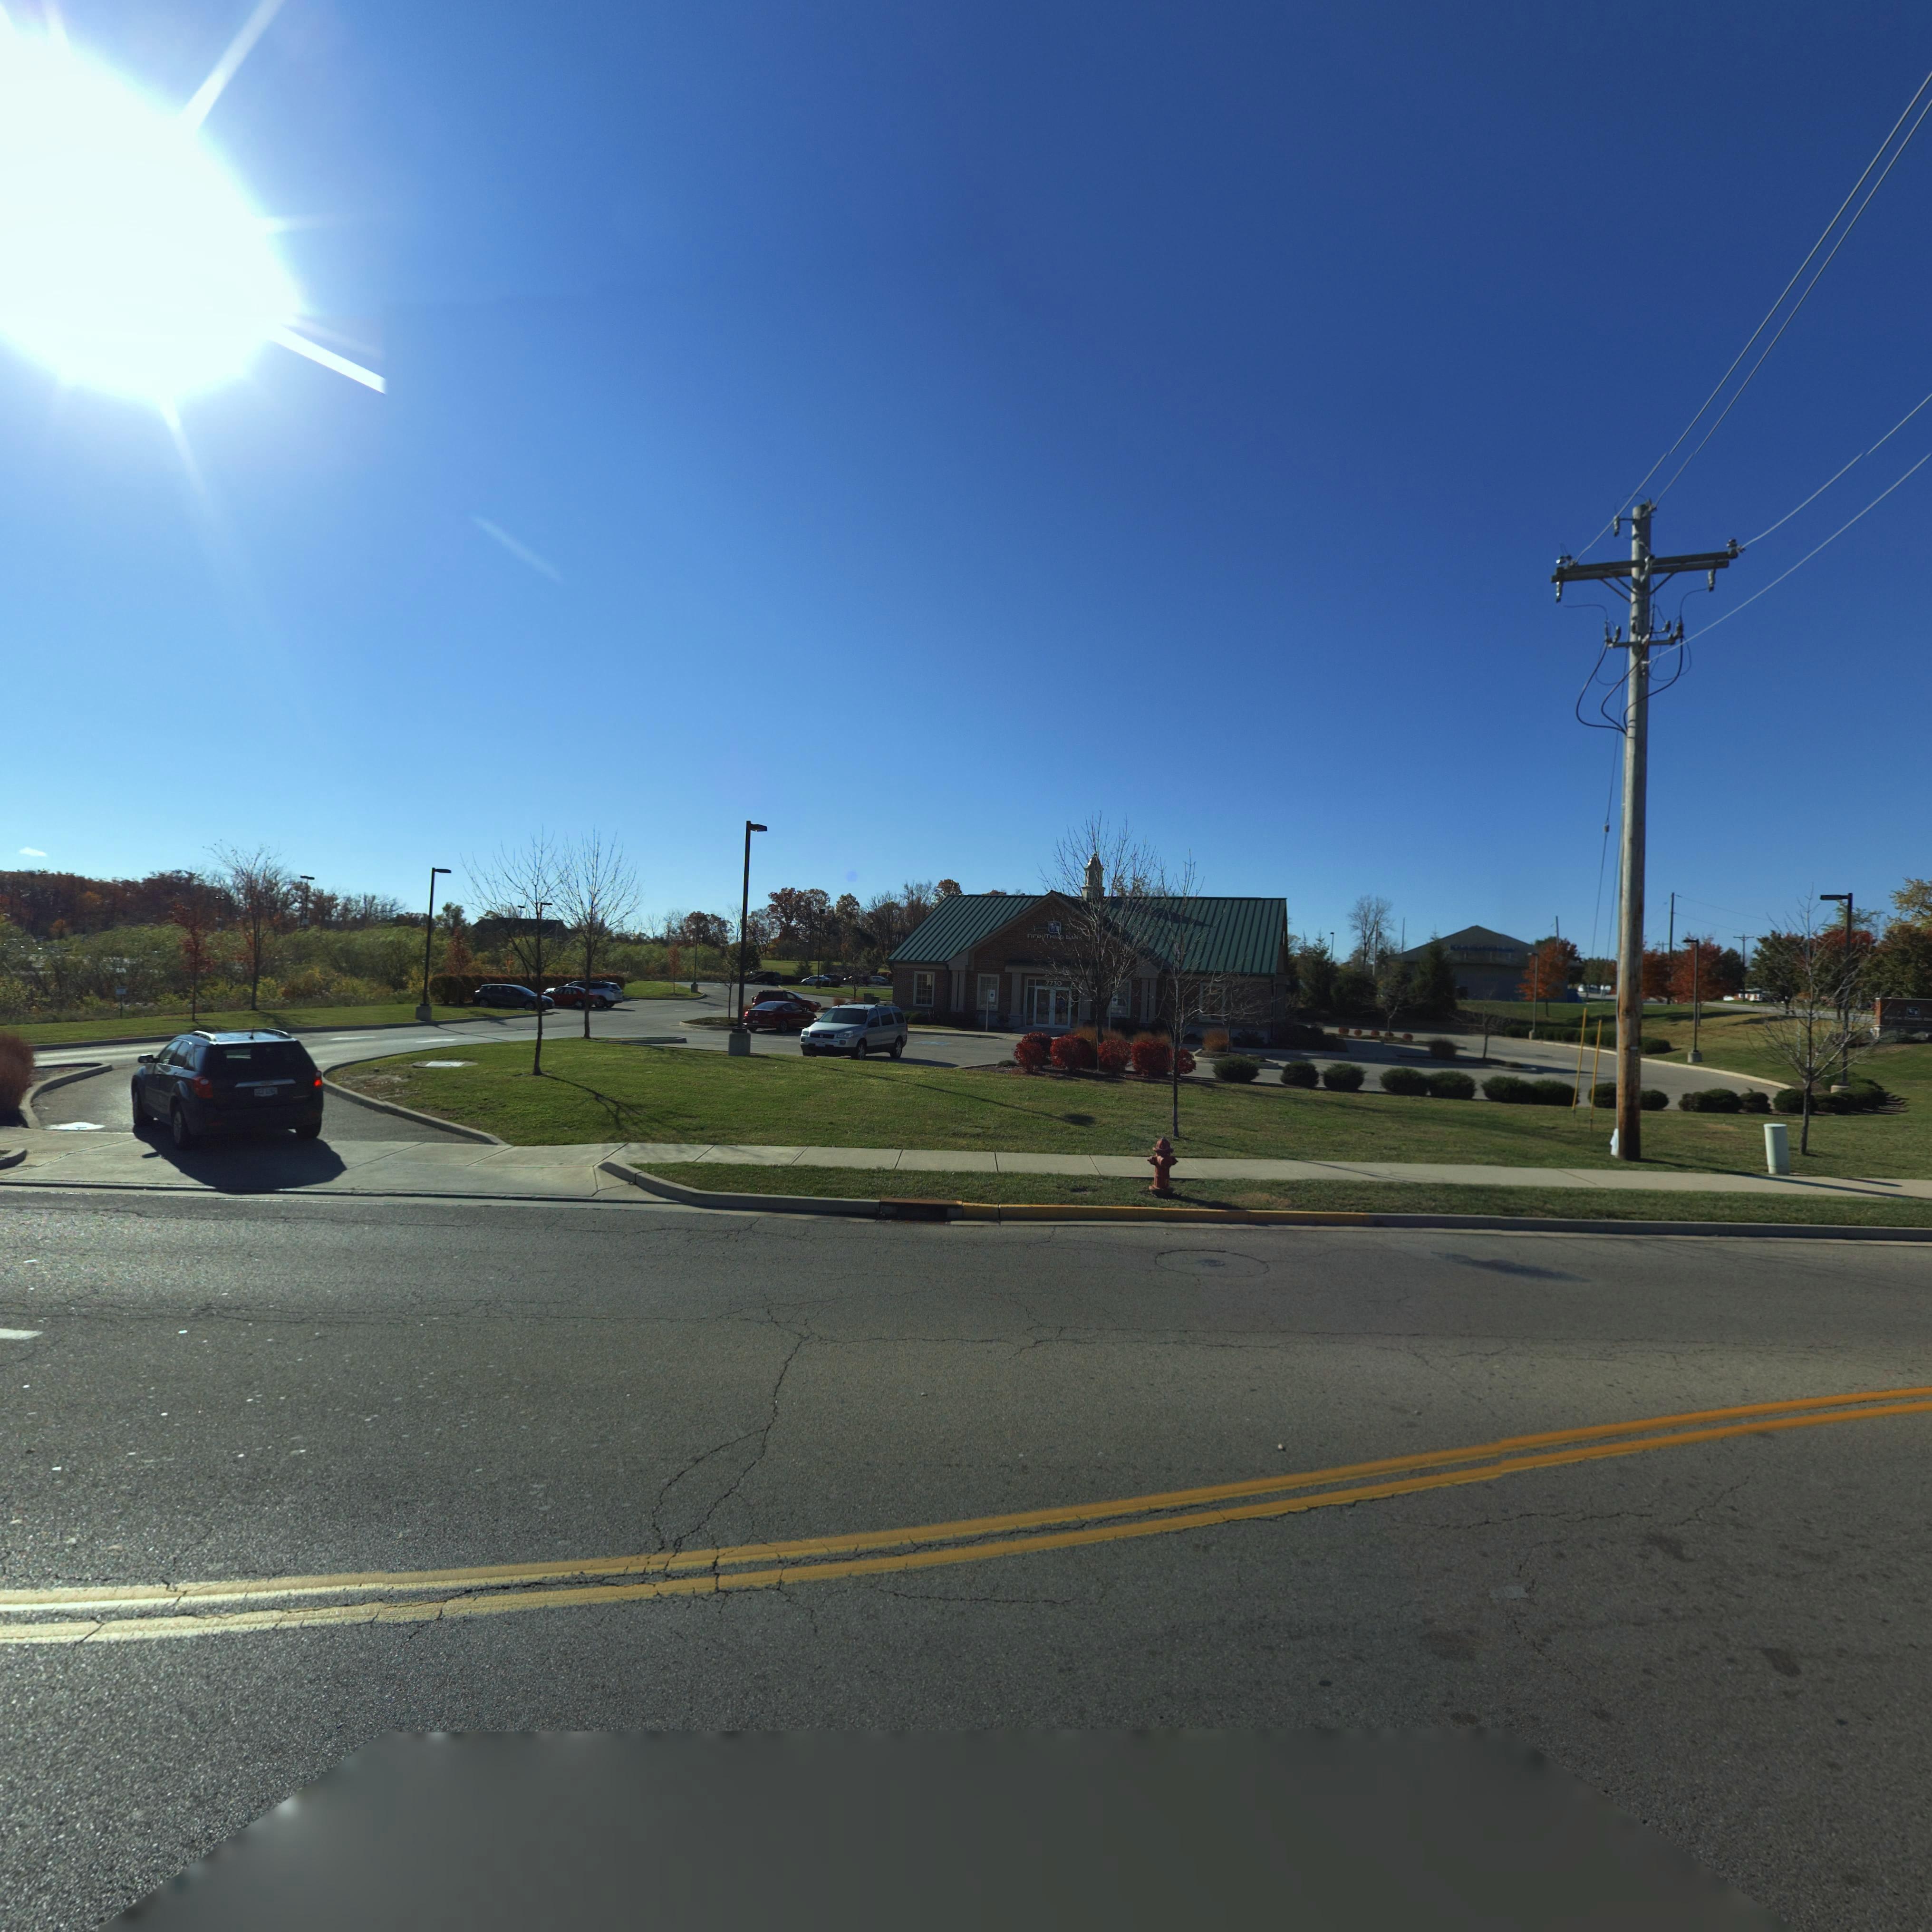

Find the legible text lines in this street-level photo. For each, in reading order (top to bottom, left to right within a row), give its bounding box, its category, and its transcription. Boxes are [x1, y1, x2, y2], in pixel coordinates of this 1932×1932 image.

[1045, 980, 1063, 986] StreetNumber: 7730